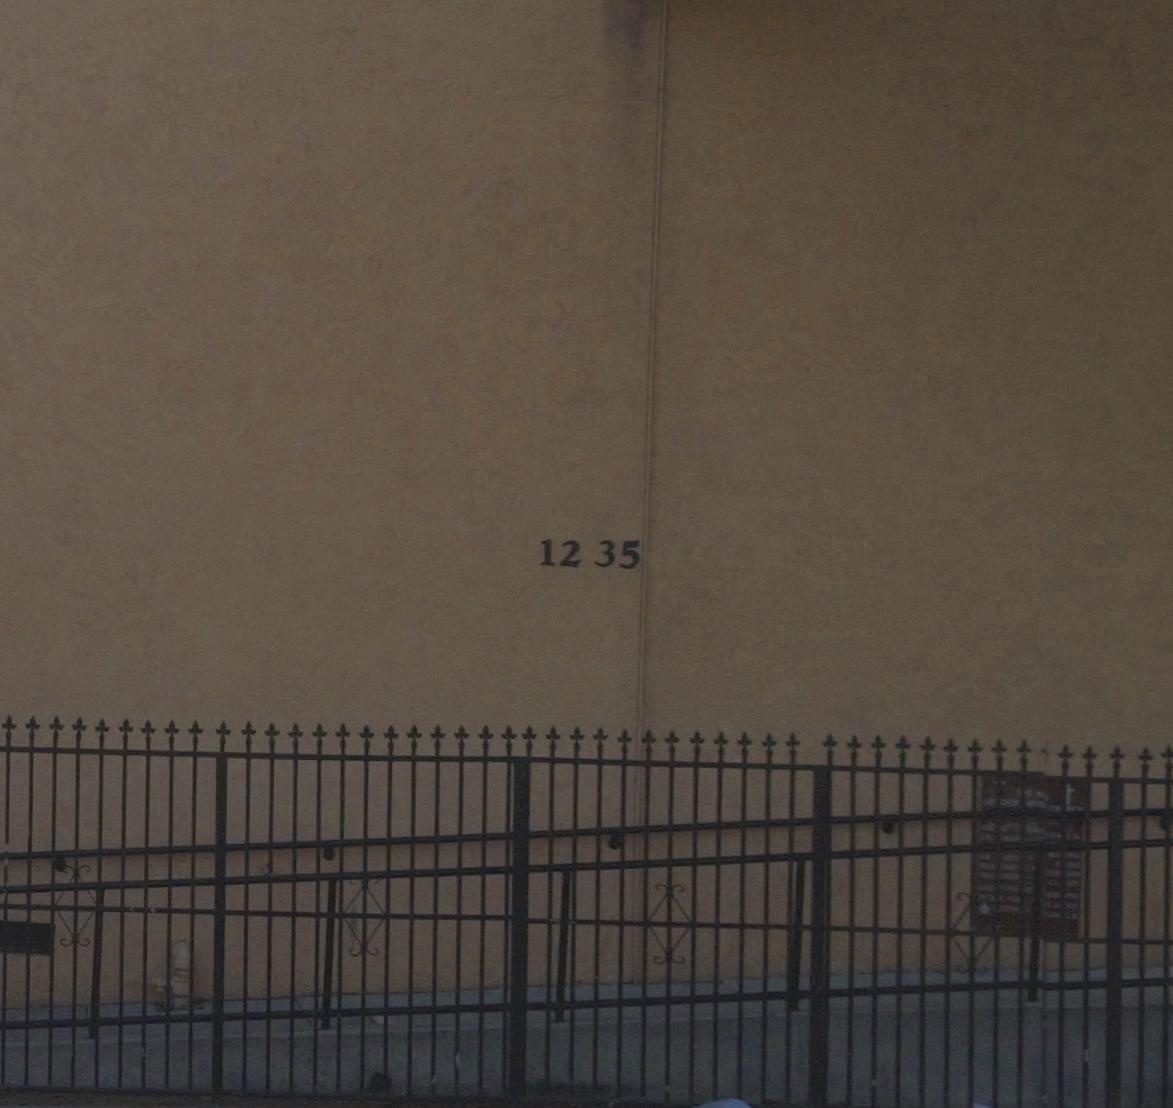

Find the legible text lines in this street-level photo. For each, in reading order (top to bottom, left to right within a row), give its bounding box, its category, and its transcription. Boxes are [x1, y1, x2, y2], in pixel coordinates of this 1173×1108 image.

[536, 529, 646, 575] StreetNumber: 1235